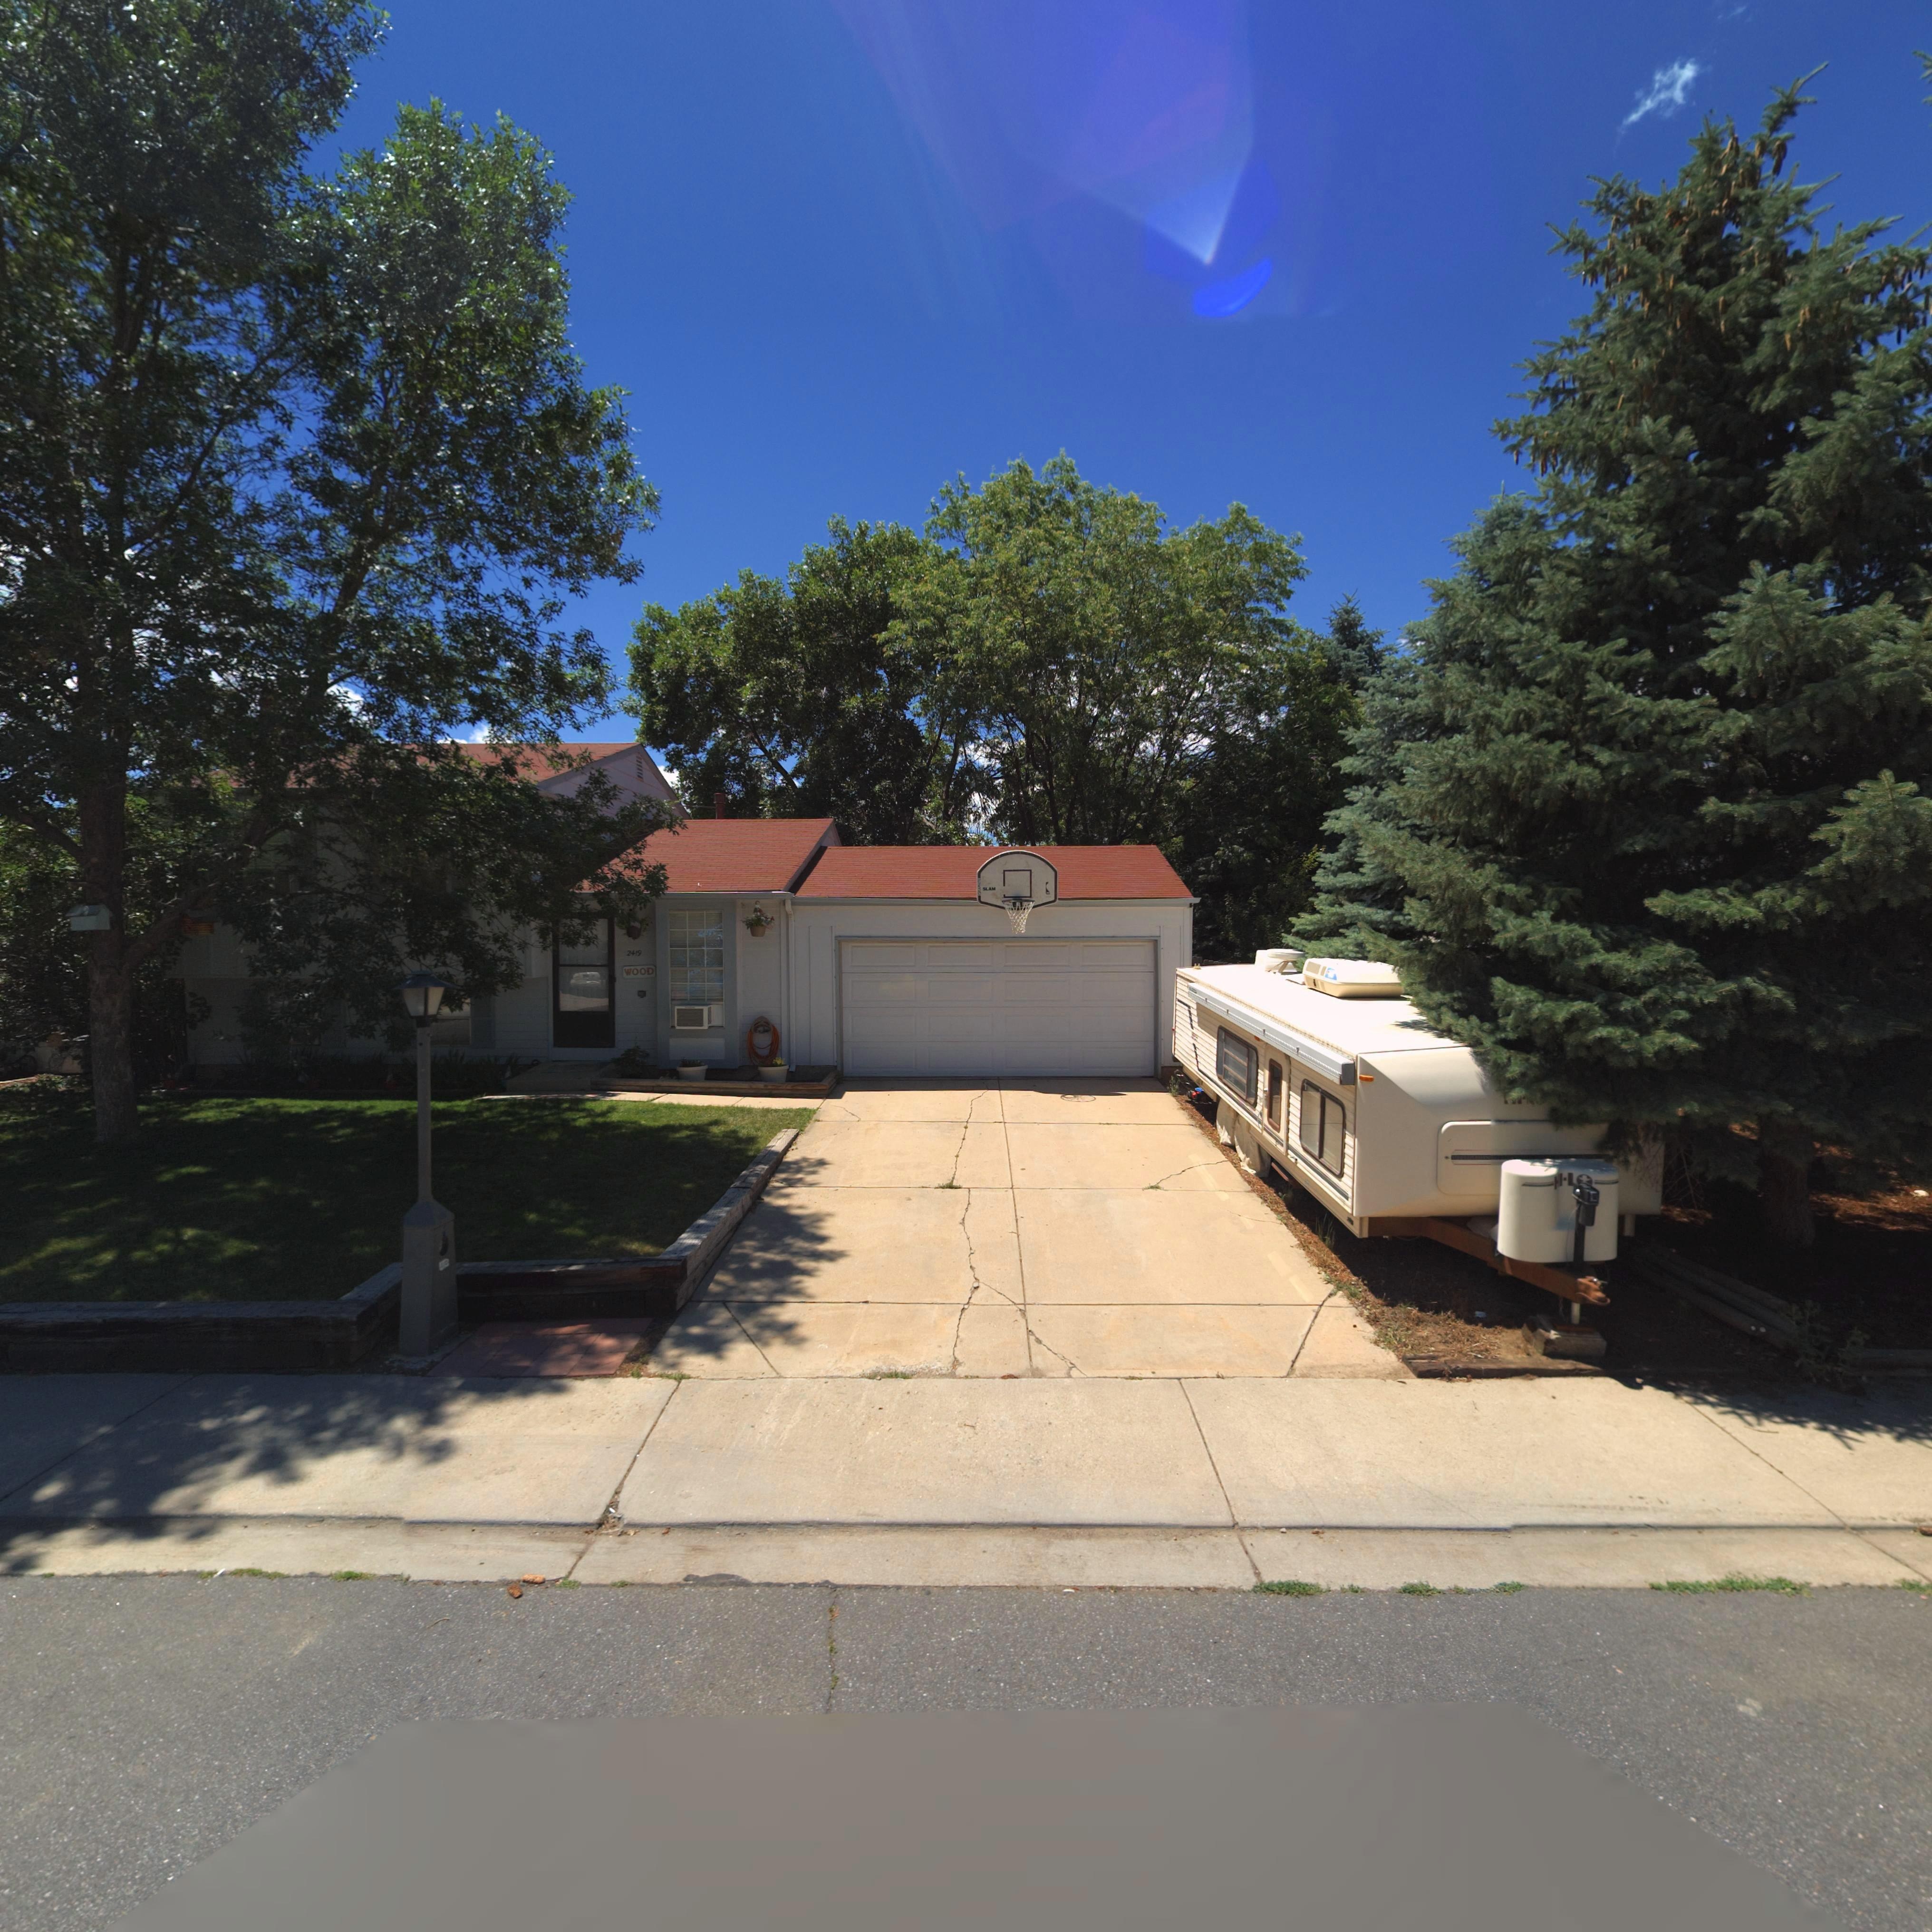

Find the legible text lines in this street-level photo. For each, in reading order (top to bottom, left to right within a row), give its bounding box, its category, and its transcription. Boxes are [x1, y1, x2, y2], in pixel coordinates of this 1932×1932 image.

[626, 950, 642, 956] StreetNumber: 2419